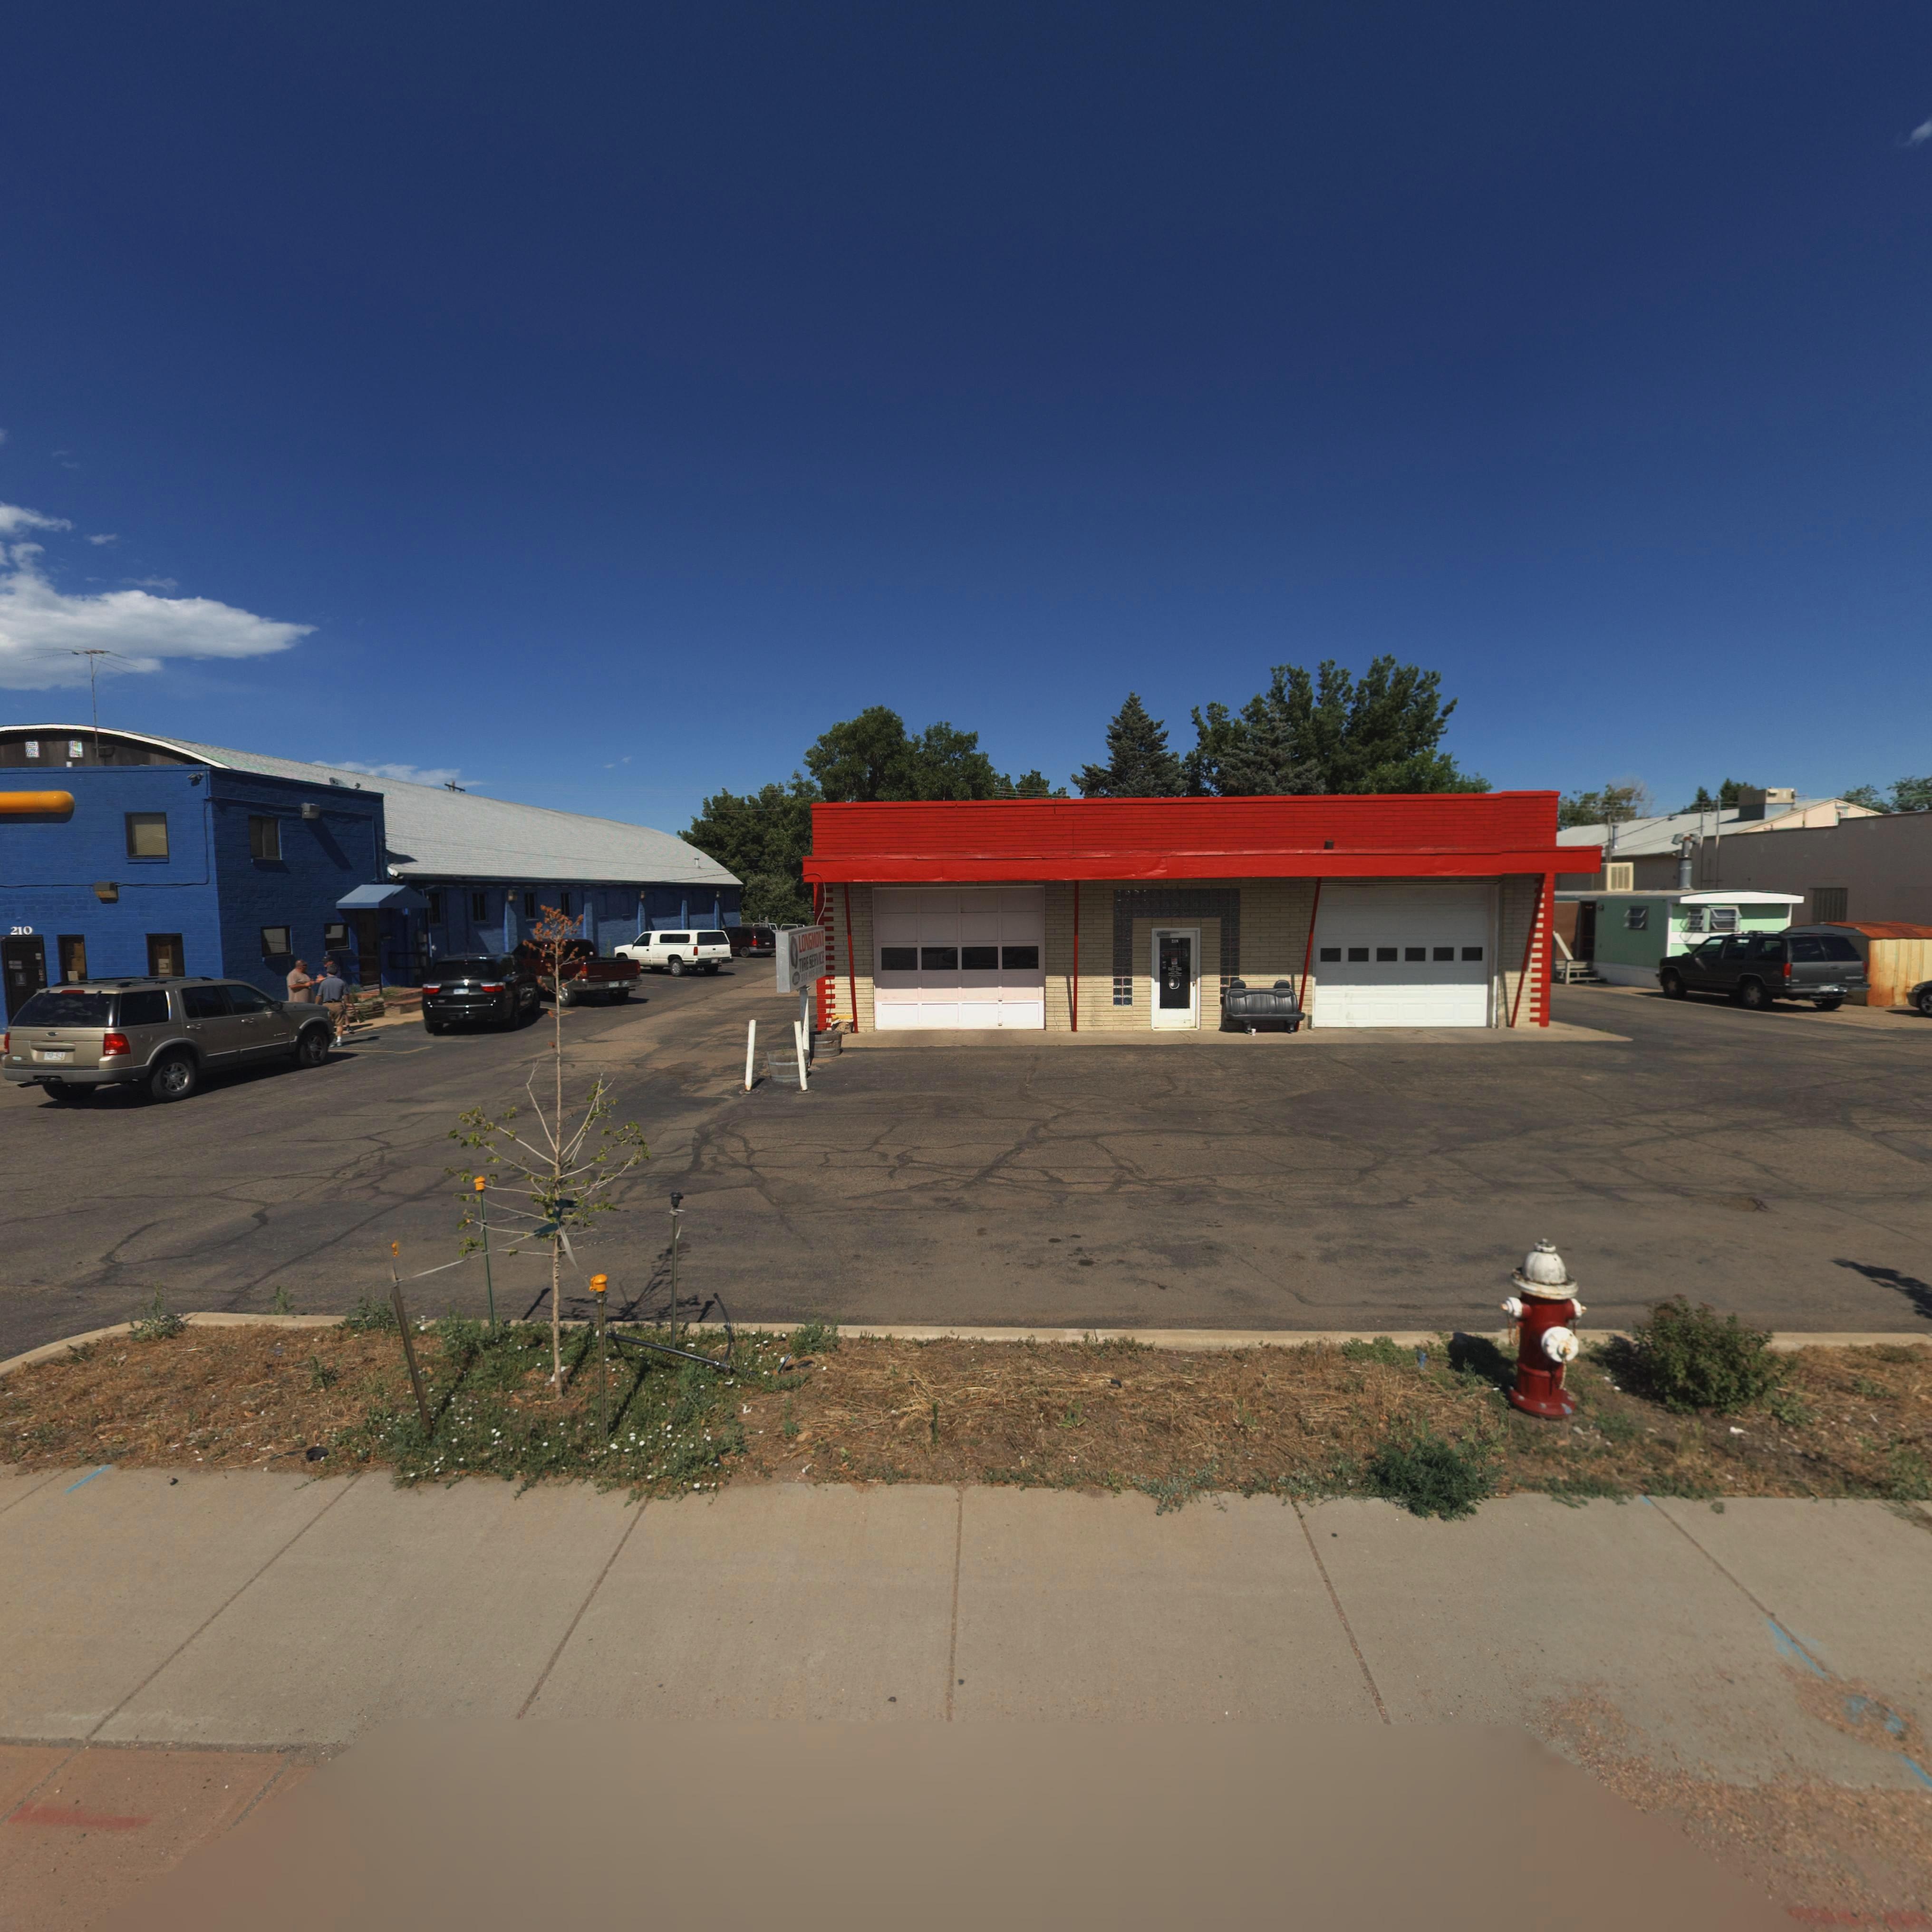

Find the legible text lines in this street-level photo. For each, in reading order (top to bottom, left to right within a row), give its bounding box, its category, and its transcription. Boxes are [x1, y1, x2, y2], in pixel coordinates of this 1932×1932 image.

[10, 926, 34, 935] StreetNumber: 210
[797, 929, 824, 953] BusinessName: LONGMONT
[1171, 939, 1179, 943] StreetNumber: 2**
[797, 950, 824, 973] BusinessName: TIRE SERVICE